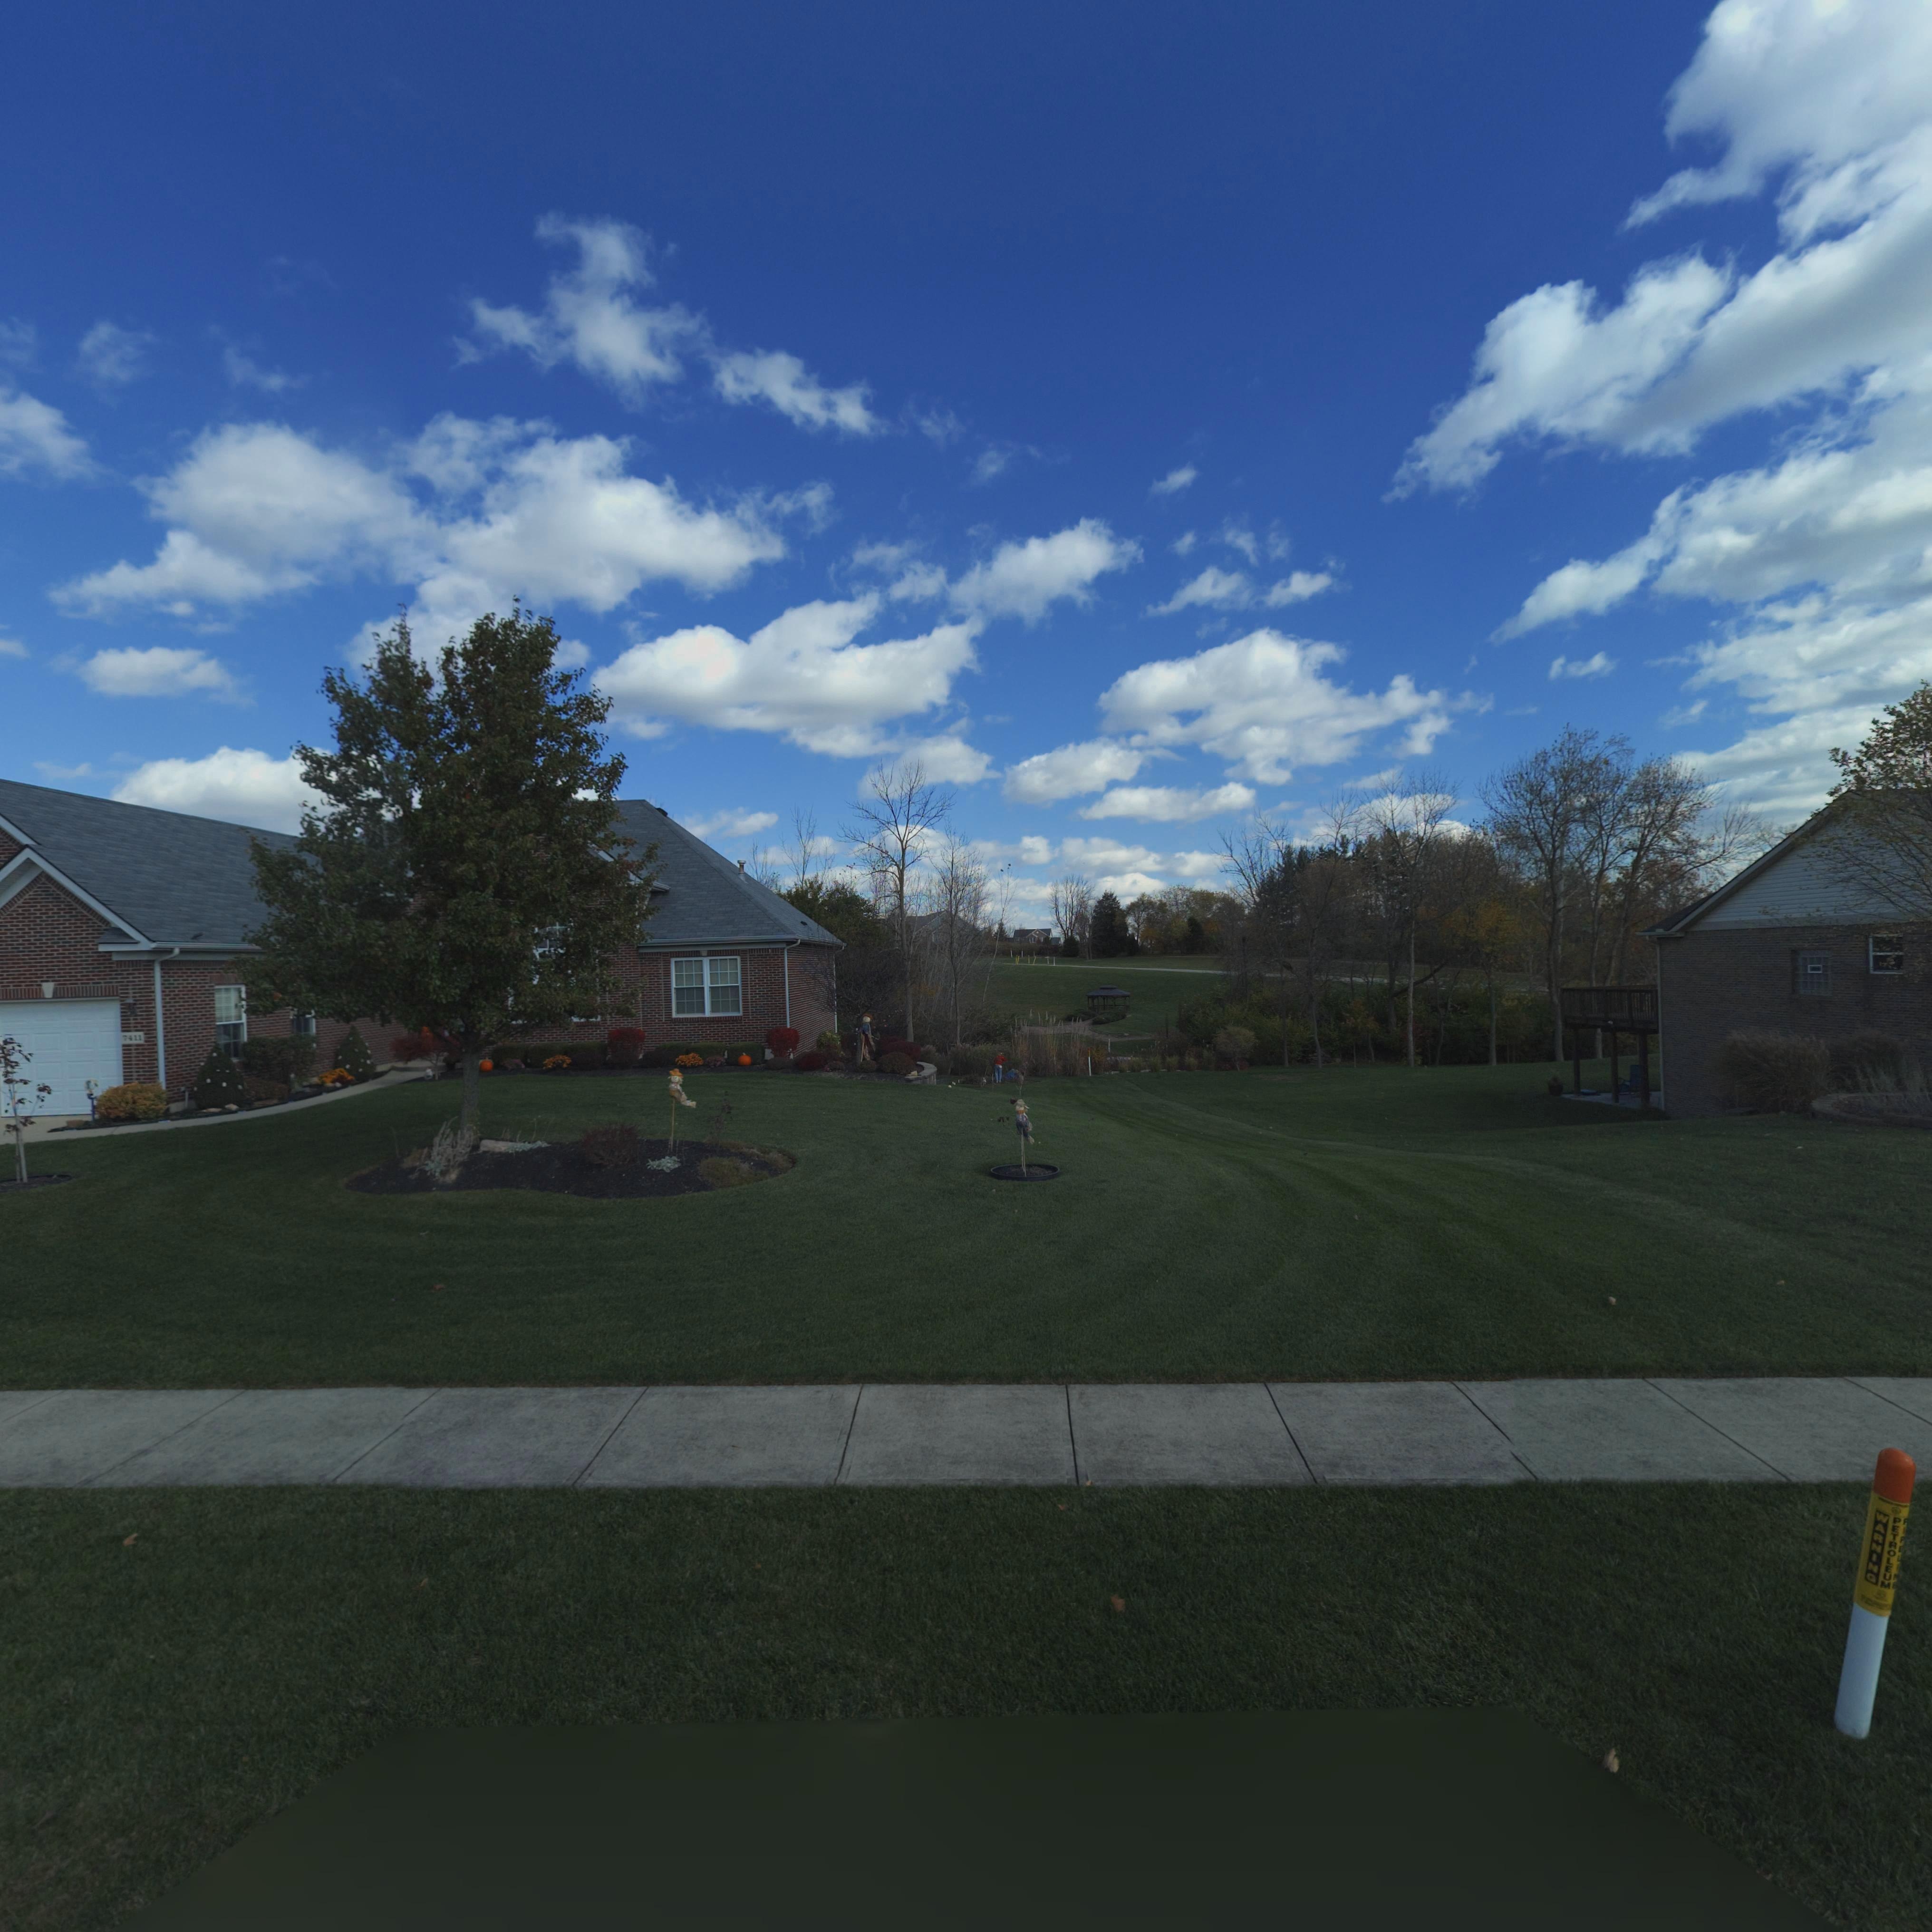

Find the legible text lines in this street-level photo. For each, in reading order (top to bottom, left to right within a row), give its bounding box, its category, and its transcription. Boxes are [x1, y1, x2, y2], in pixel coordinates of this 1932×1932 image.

[122, 1034, 143, 1042] StreetNumber: 7411